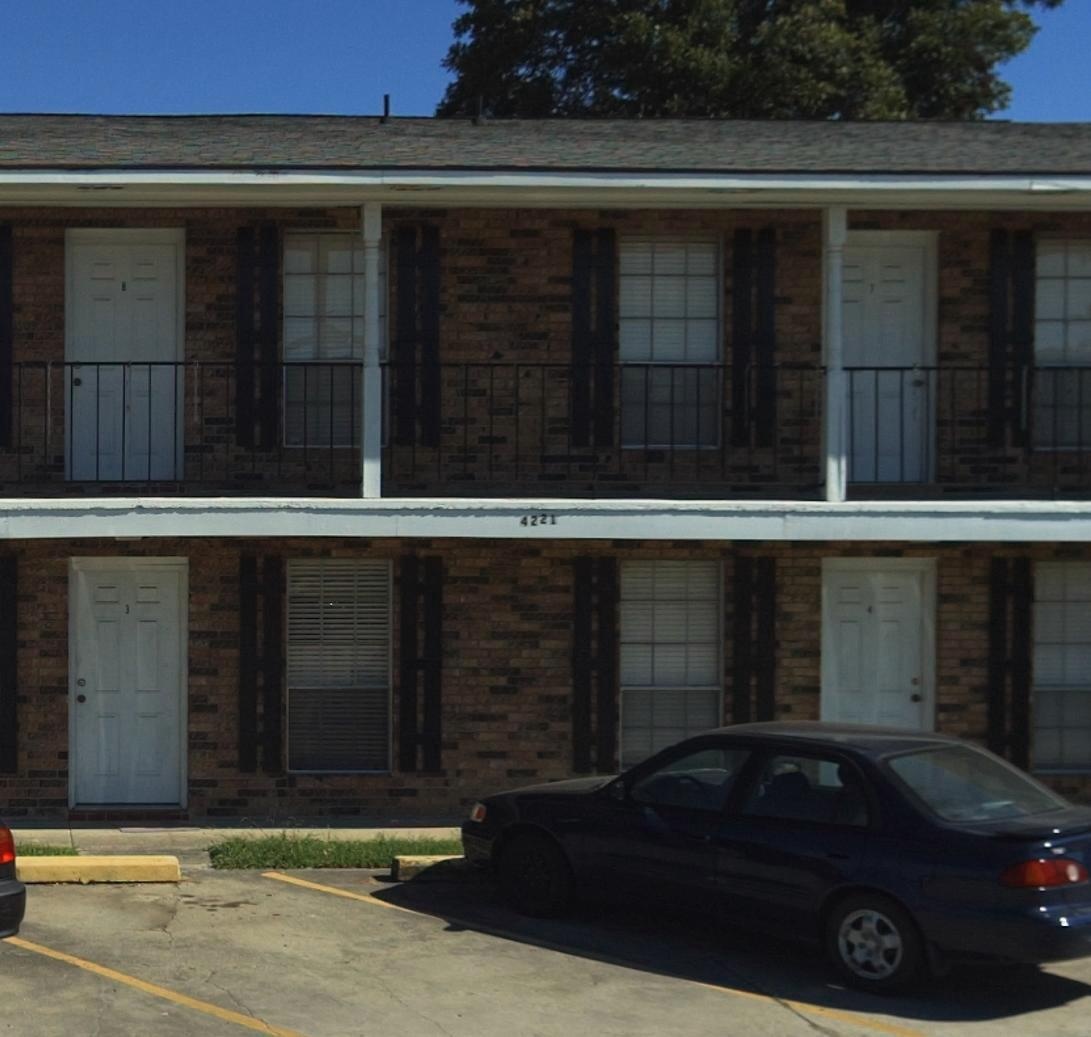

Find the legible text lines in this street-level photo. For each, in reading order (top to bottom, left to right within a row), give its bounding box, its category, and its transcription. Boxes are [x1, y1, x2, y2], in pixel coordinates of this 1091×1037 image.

[500, 500, 591, 537] StreetNumber: 4221